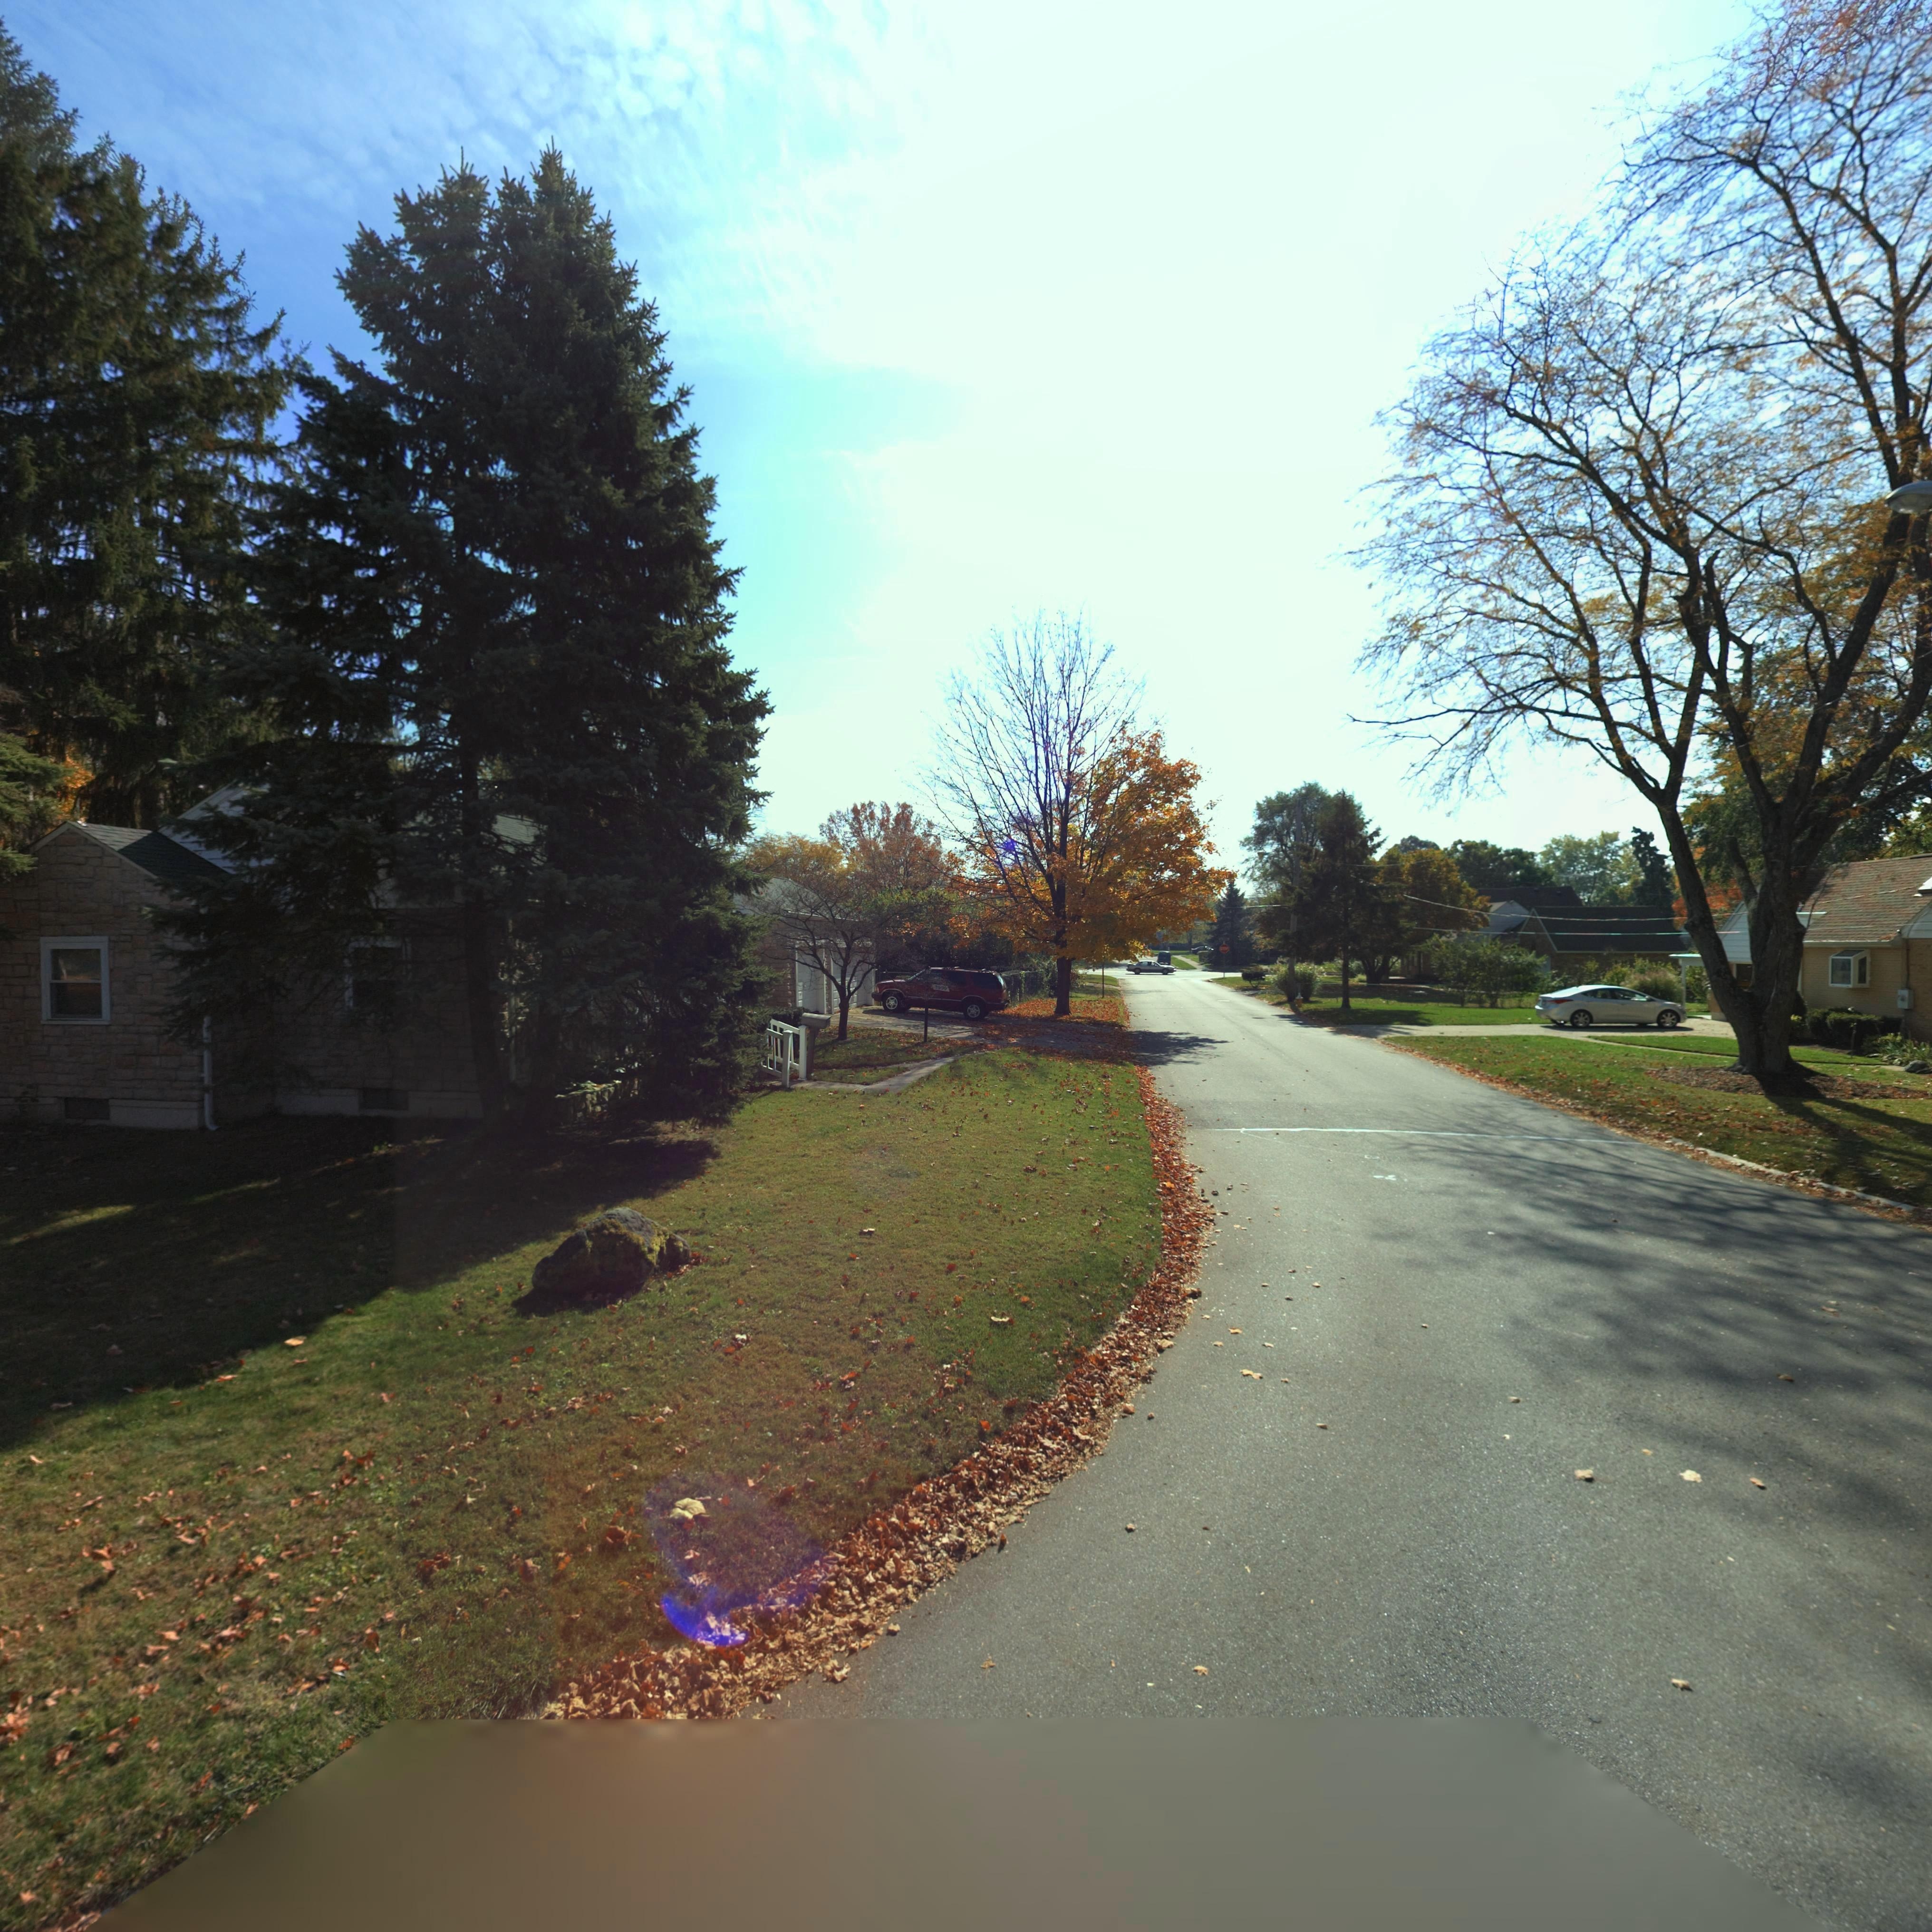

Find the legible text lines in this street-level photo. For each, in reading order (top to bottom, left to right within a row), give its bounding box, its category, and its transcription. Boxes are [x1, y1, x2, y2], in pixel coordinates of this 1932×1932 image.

[934, 985, 947, 991] StreetNumber: ***0